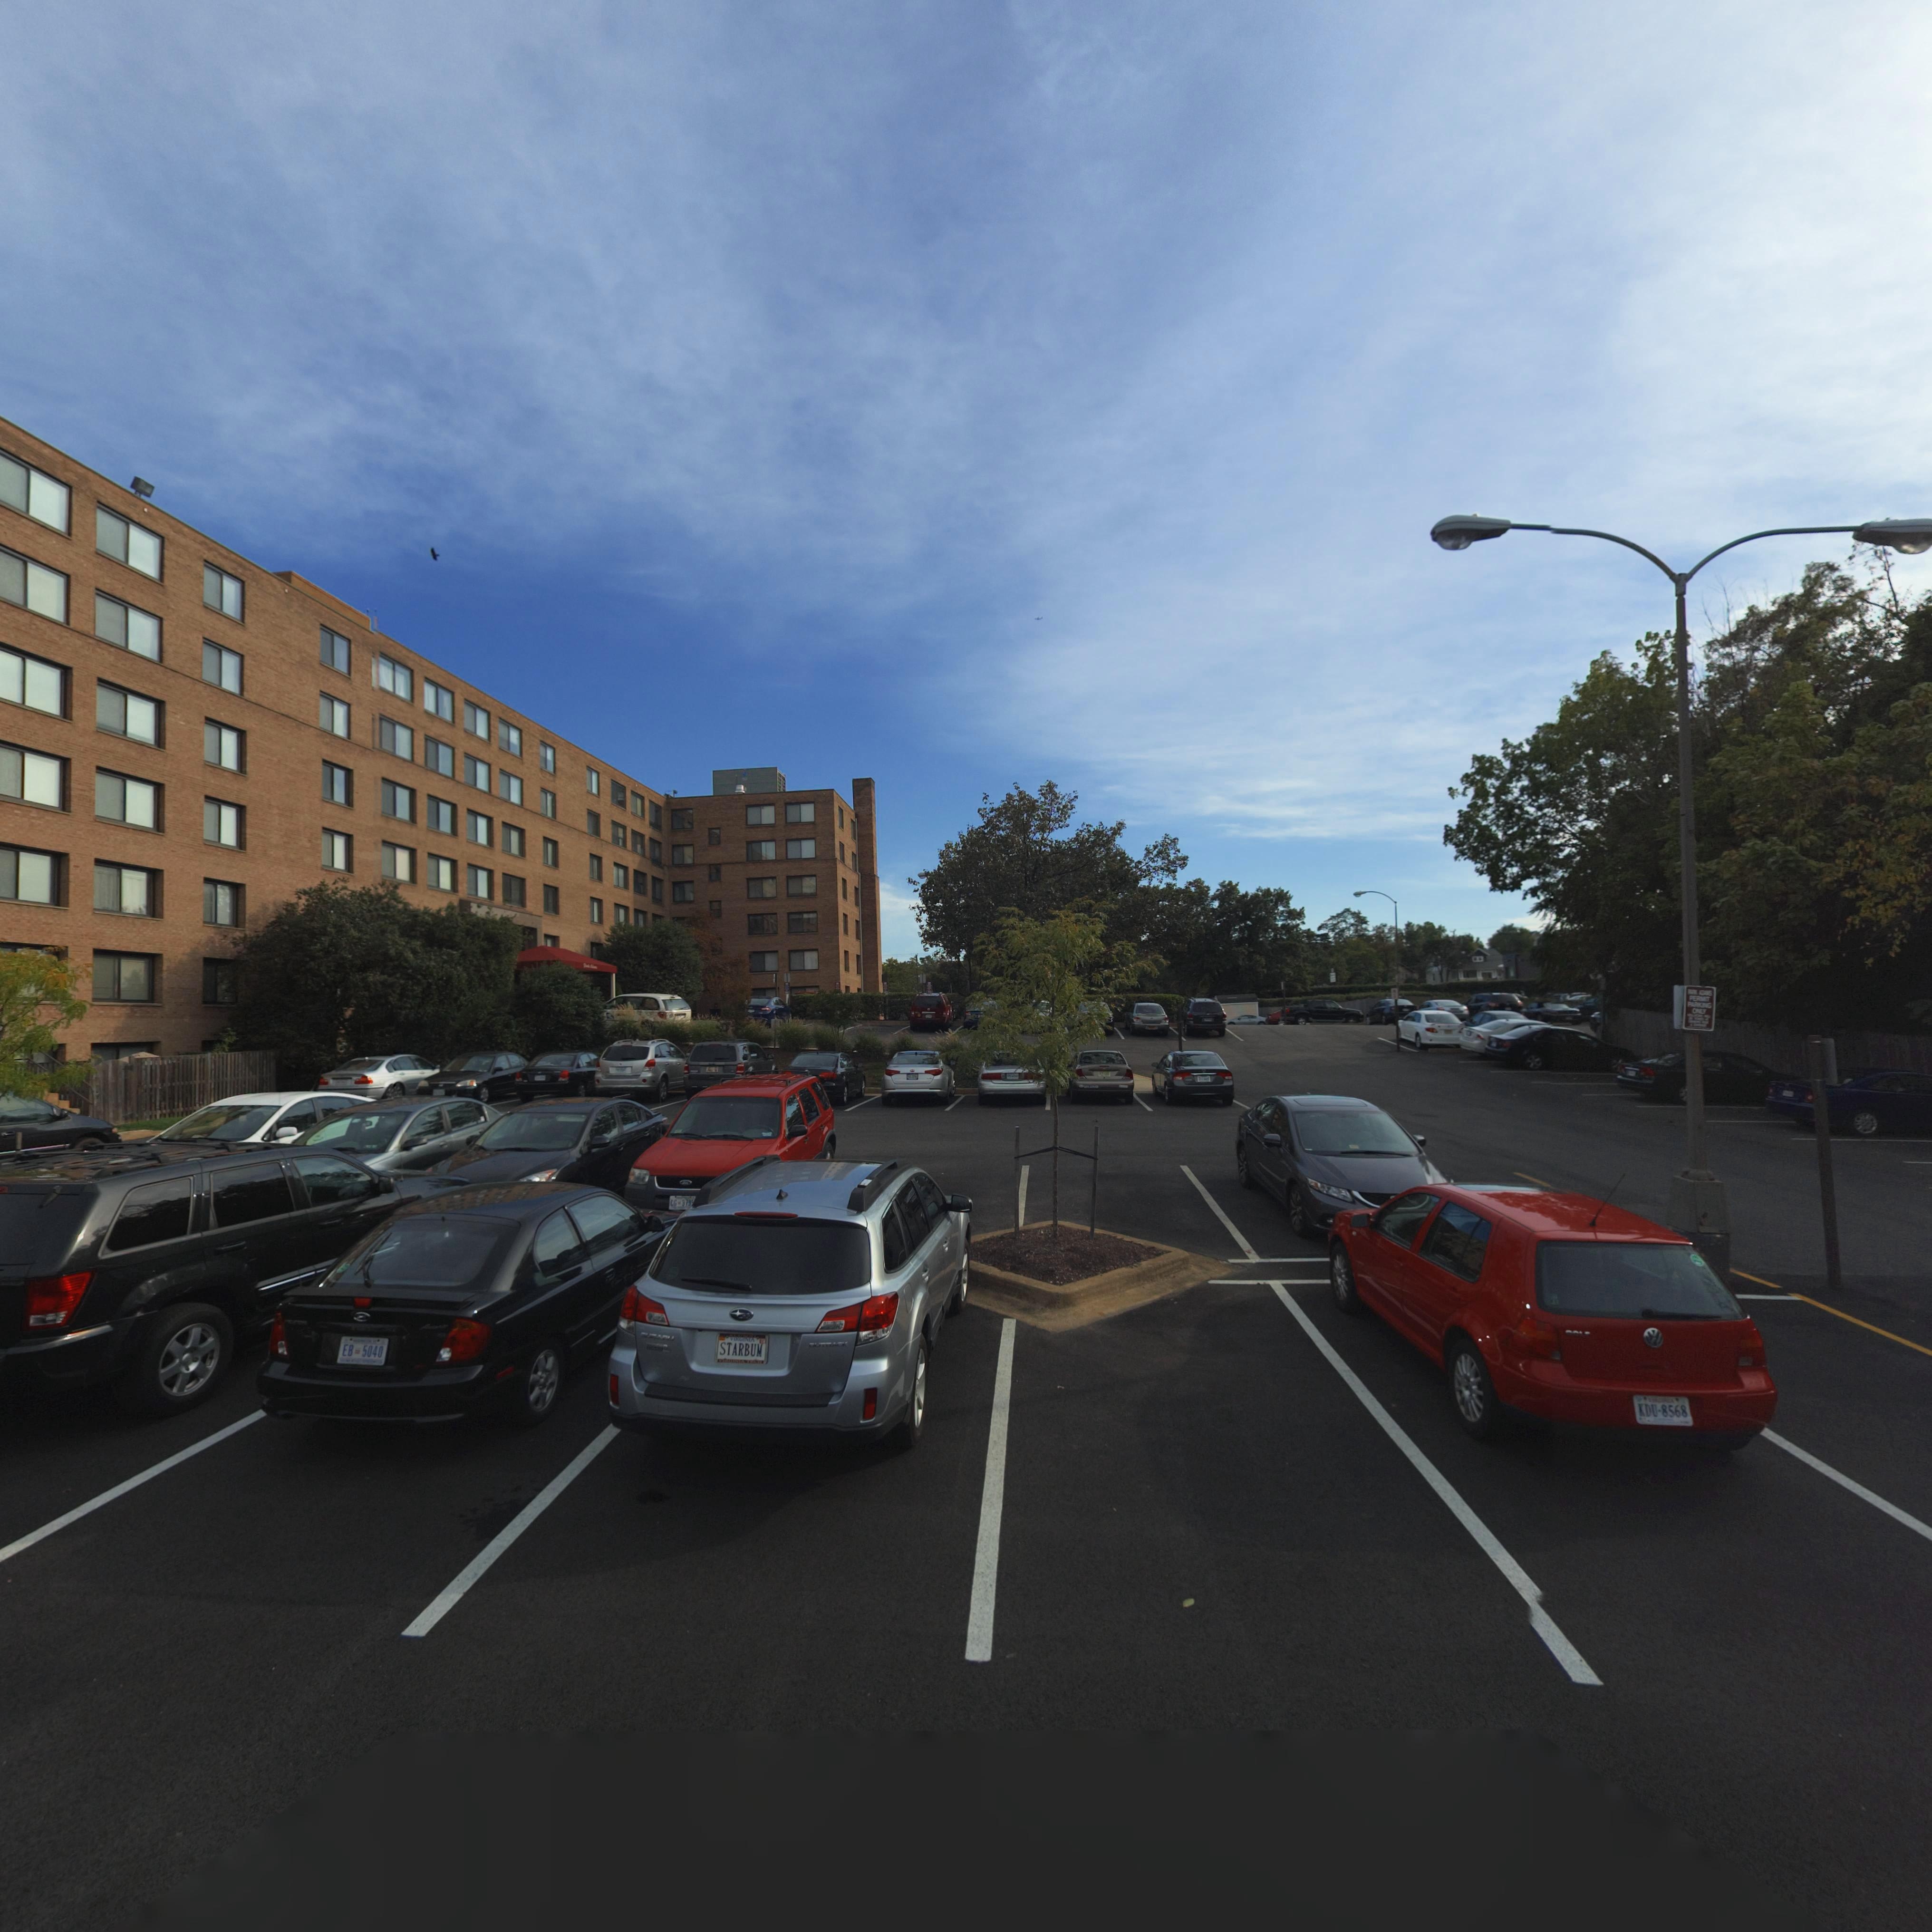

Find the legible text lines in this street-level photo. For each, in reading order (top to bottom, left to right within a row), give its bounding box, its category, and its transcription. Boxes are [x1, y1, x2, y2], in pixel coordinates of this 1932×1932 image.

[1688, 995, 1711, 1003] None: PERMIT
[1687, 1001, 1712, 1009] None: PARKING
[1692, 1007, 1708, 1014] None: ONLY
[670, 1199, 693, 1207] None: CG*3795
[729, 1335, 755, 1343] None: VIRGINIA
[341, 1343, 384, 1358] None: EB=5040
[719, 1341, 763, 1358] None: STARBUM
[1637, 1402, 1689, 1419] None: KDU-8568